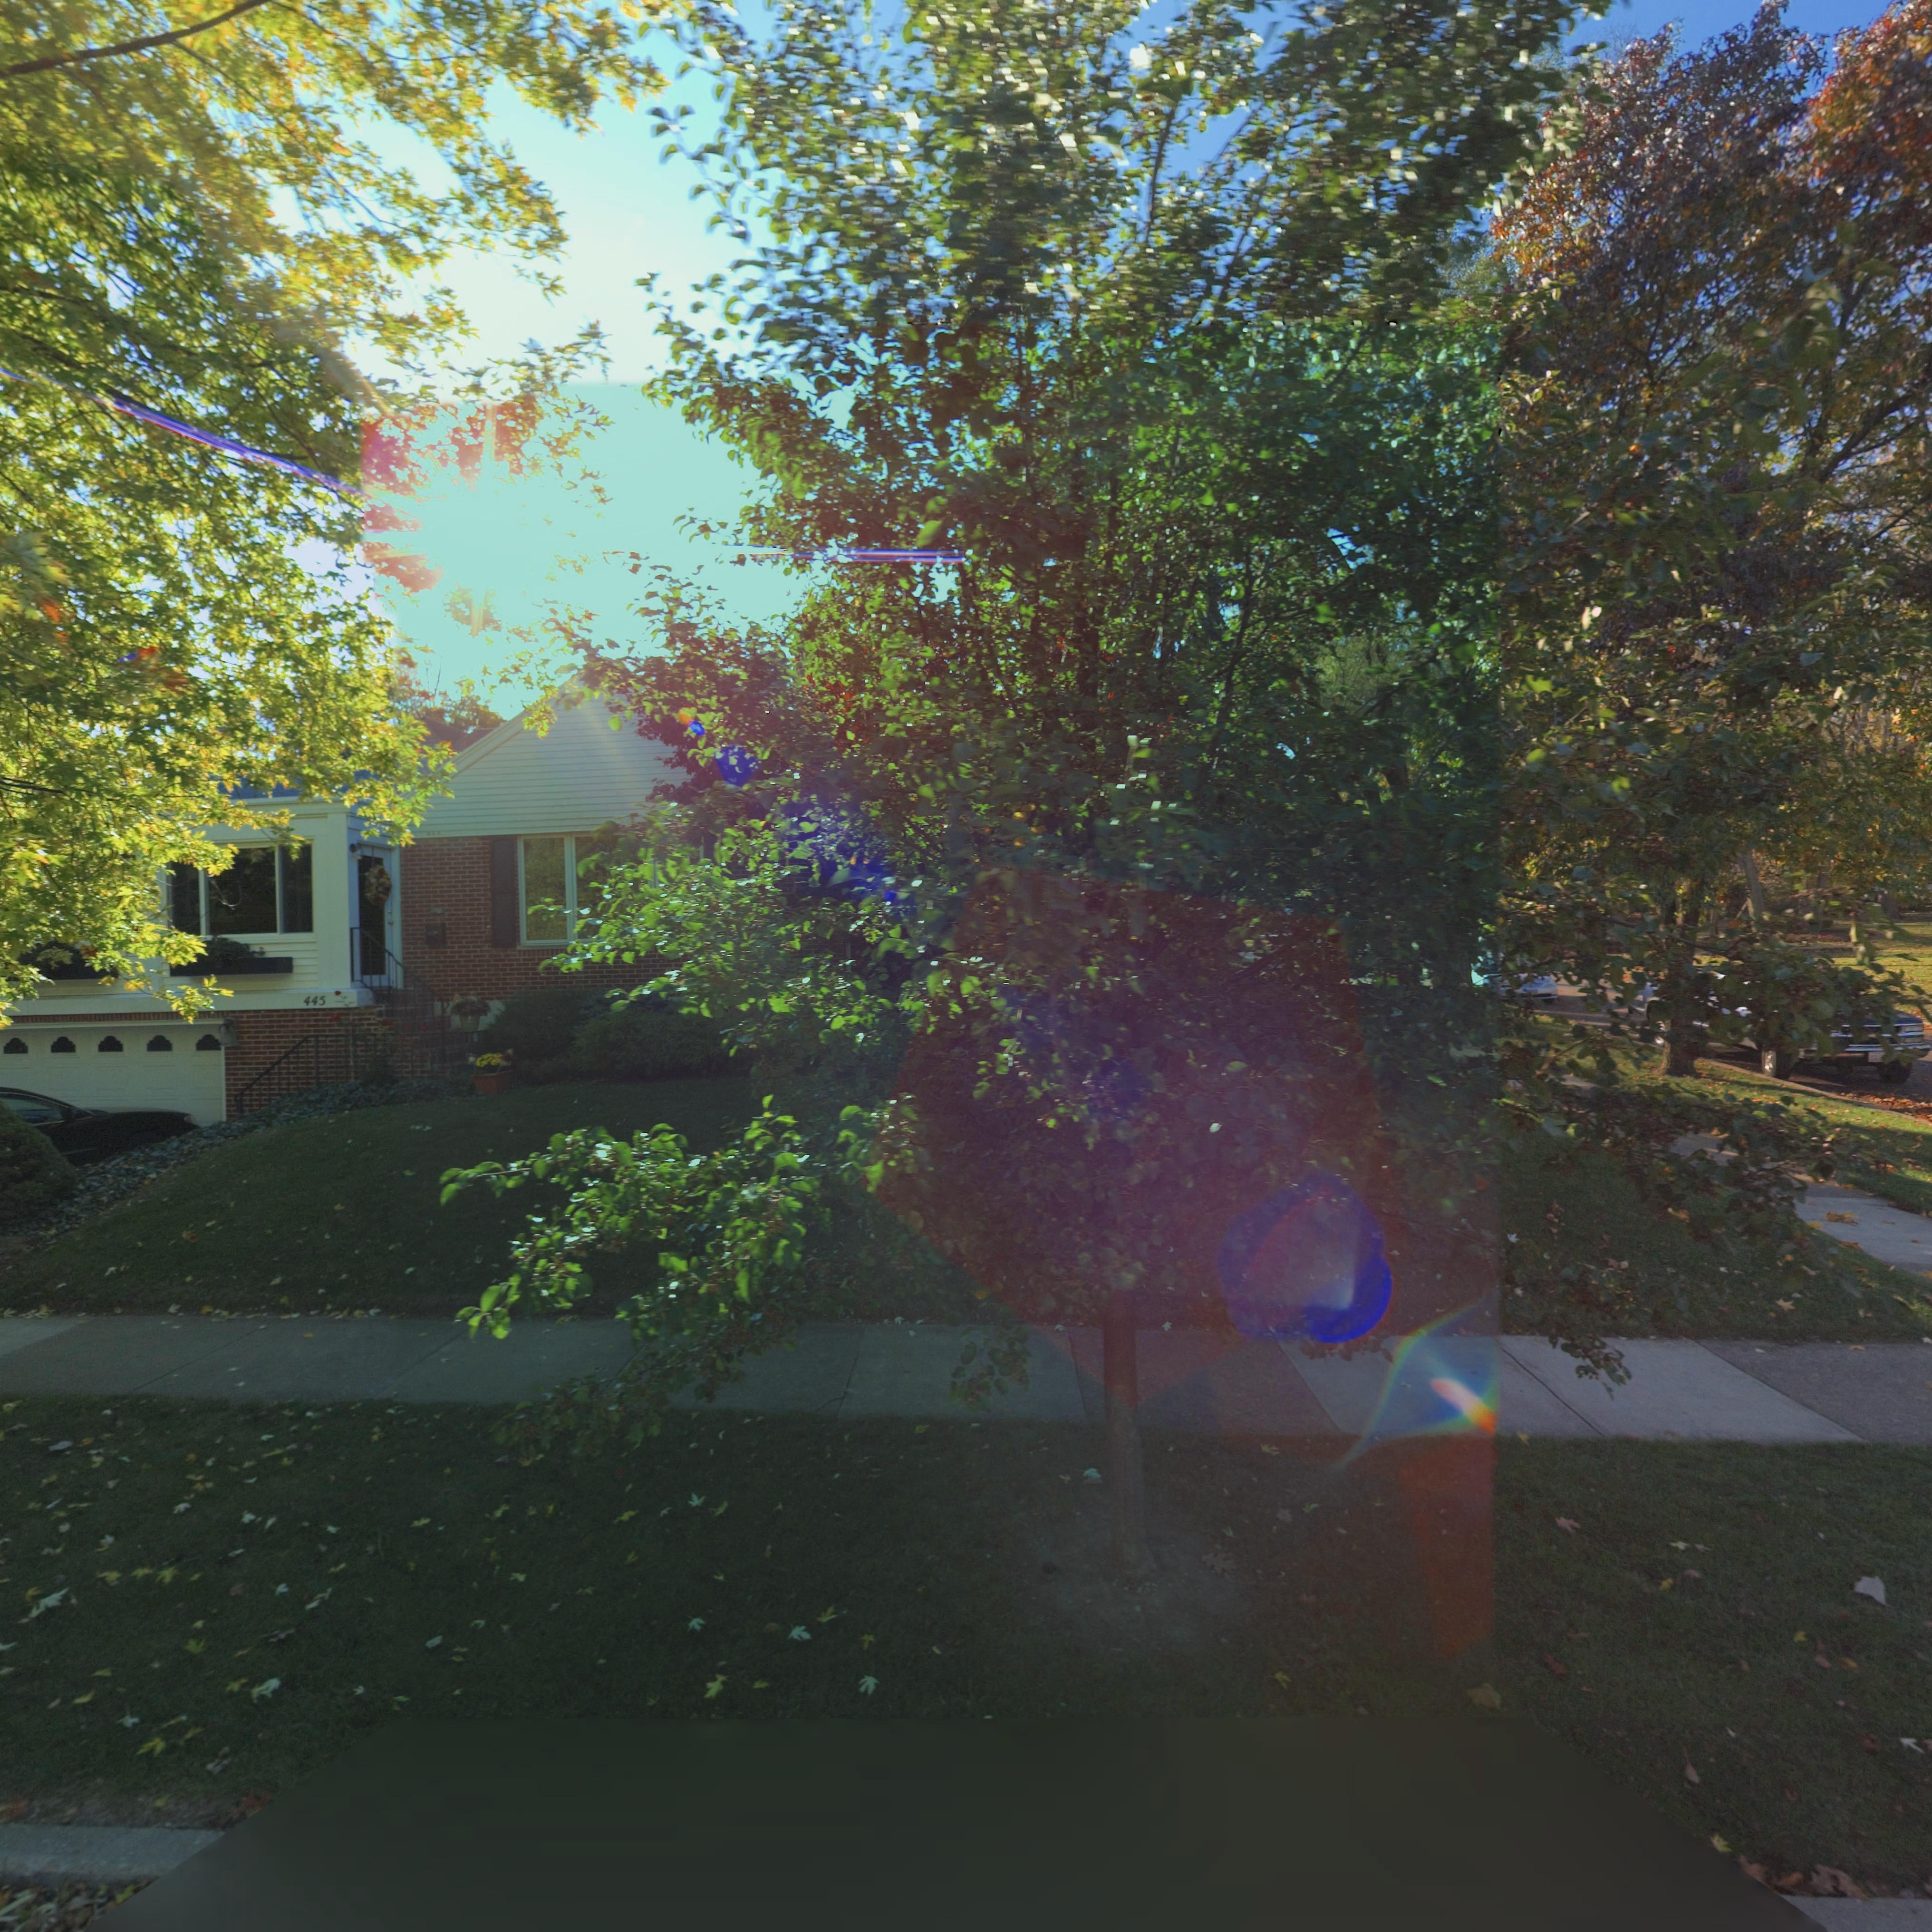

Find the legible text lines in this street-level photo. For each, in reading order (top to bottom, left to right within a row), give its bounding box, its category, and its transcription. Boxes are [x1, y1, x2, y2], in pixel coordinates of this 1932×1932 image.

[303, 995, 327, 1007] StreetNumber: 445